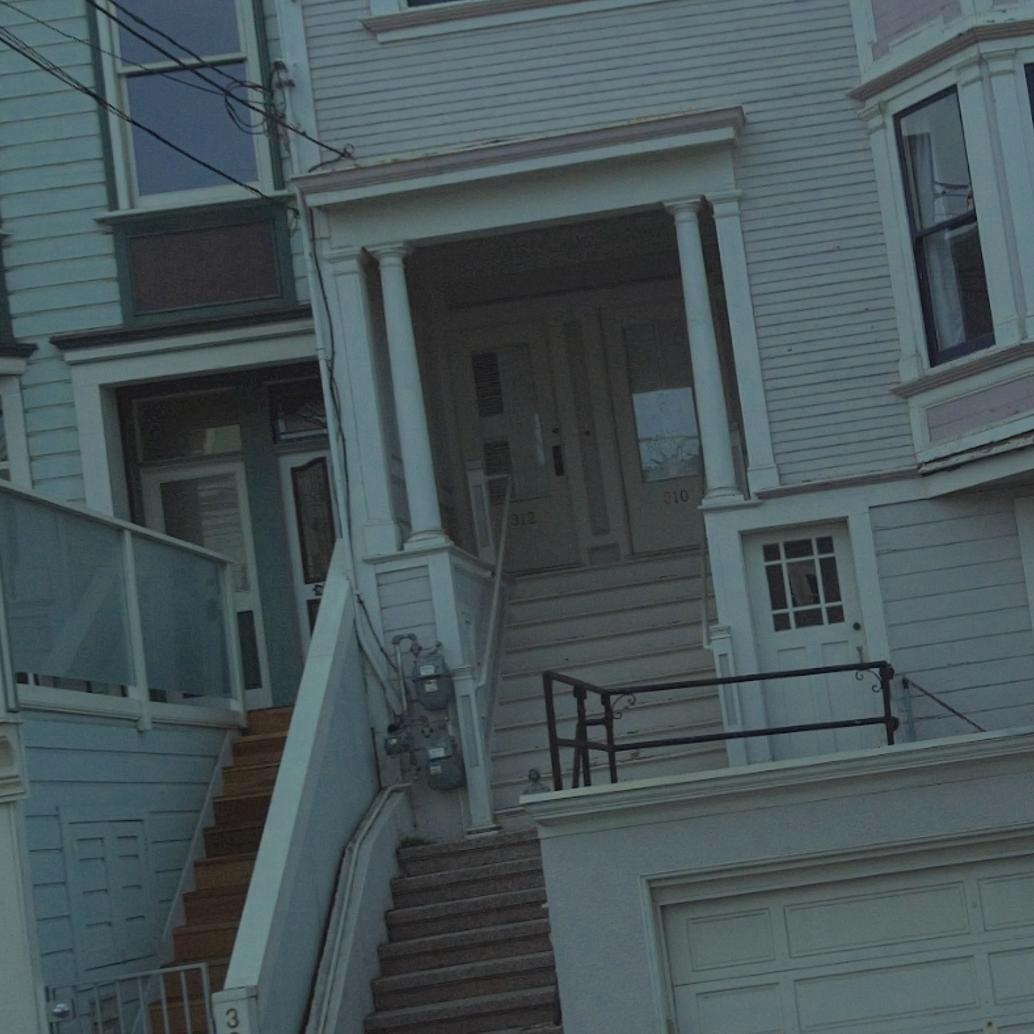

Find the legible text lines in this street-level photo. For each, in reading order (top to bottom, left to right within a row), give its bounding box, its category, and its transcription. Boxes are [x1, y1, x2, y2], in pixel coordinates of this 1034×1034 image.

[663, 489, 690, 506] StreetNumber: 310
[509, 511, 537, 527] StreetNumber: 312